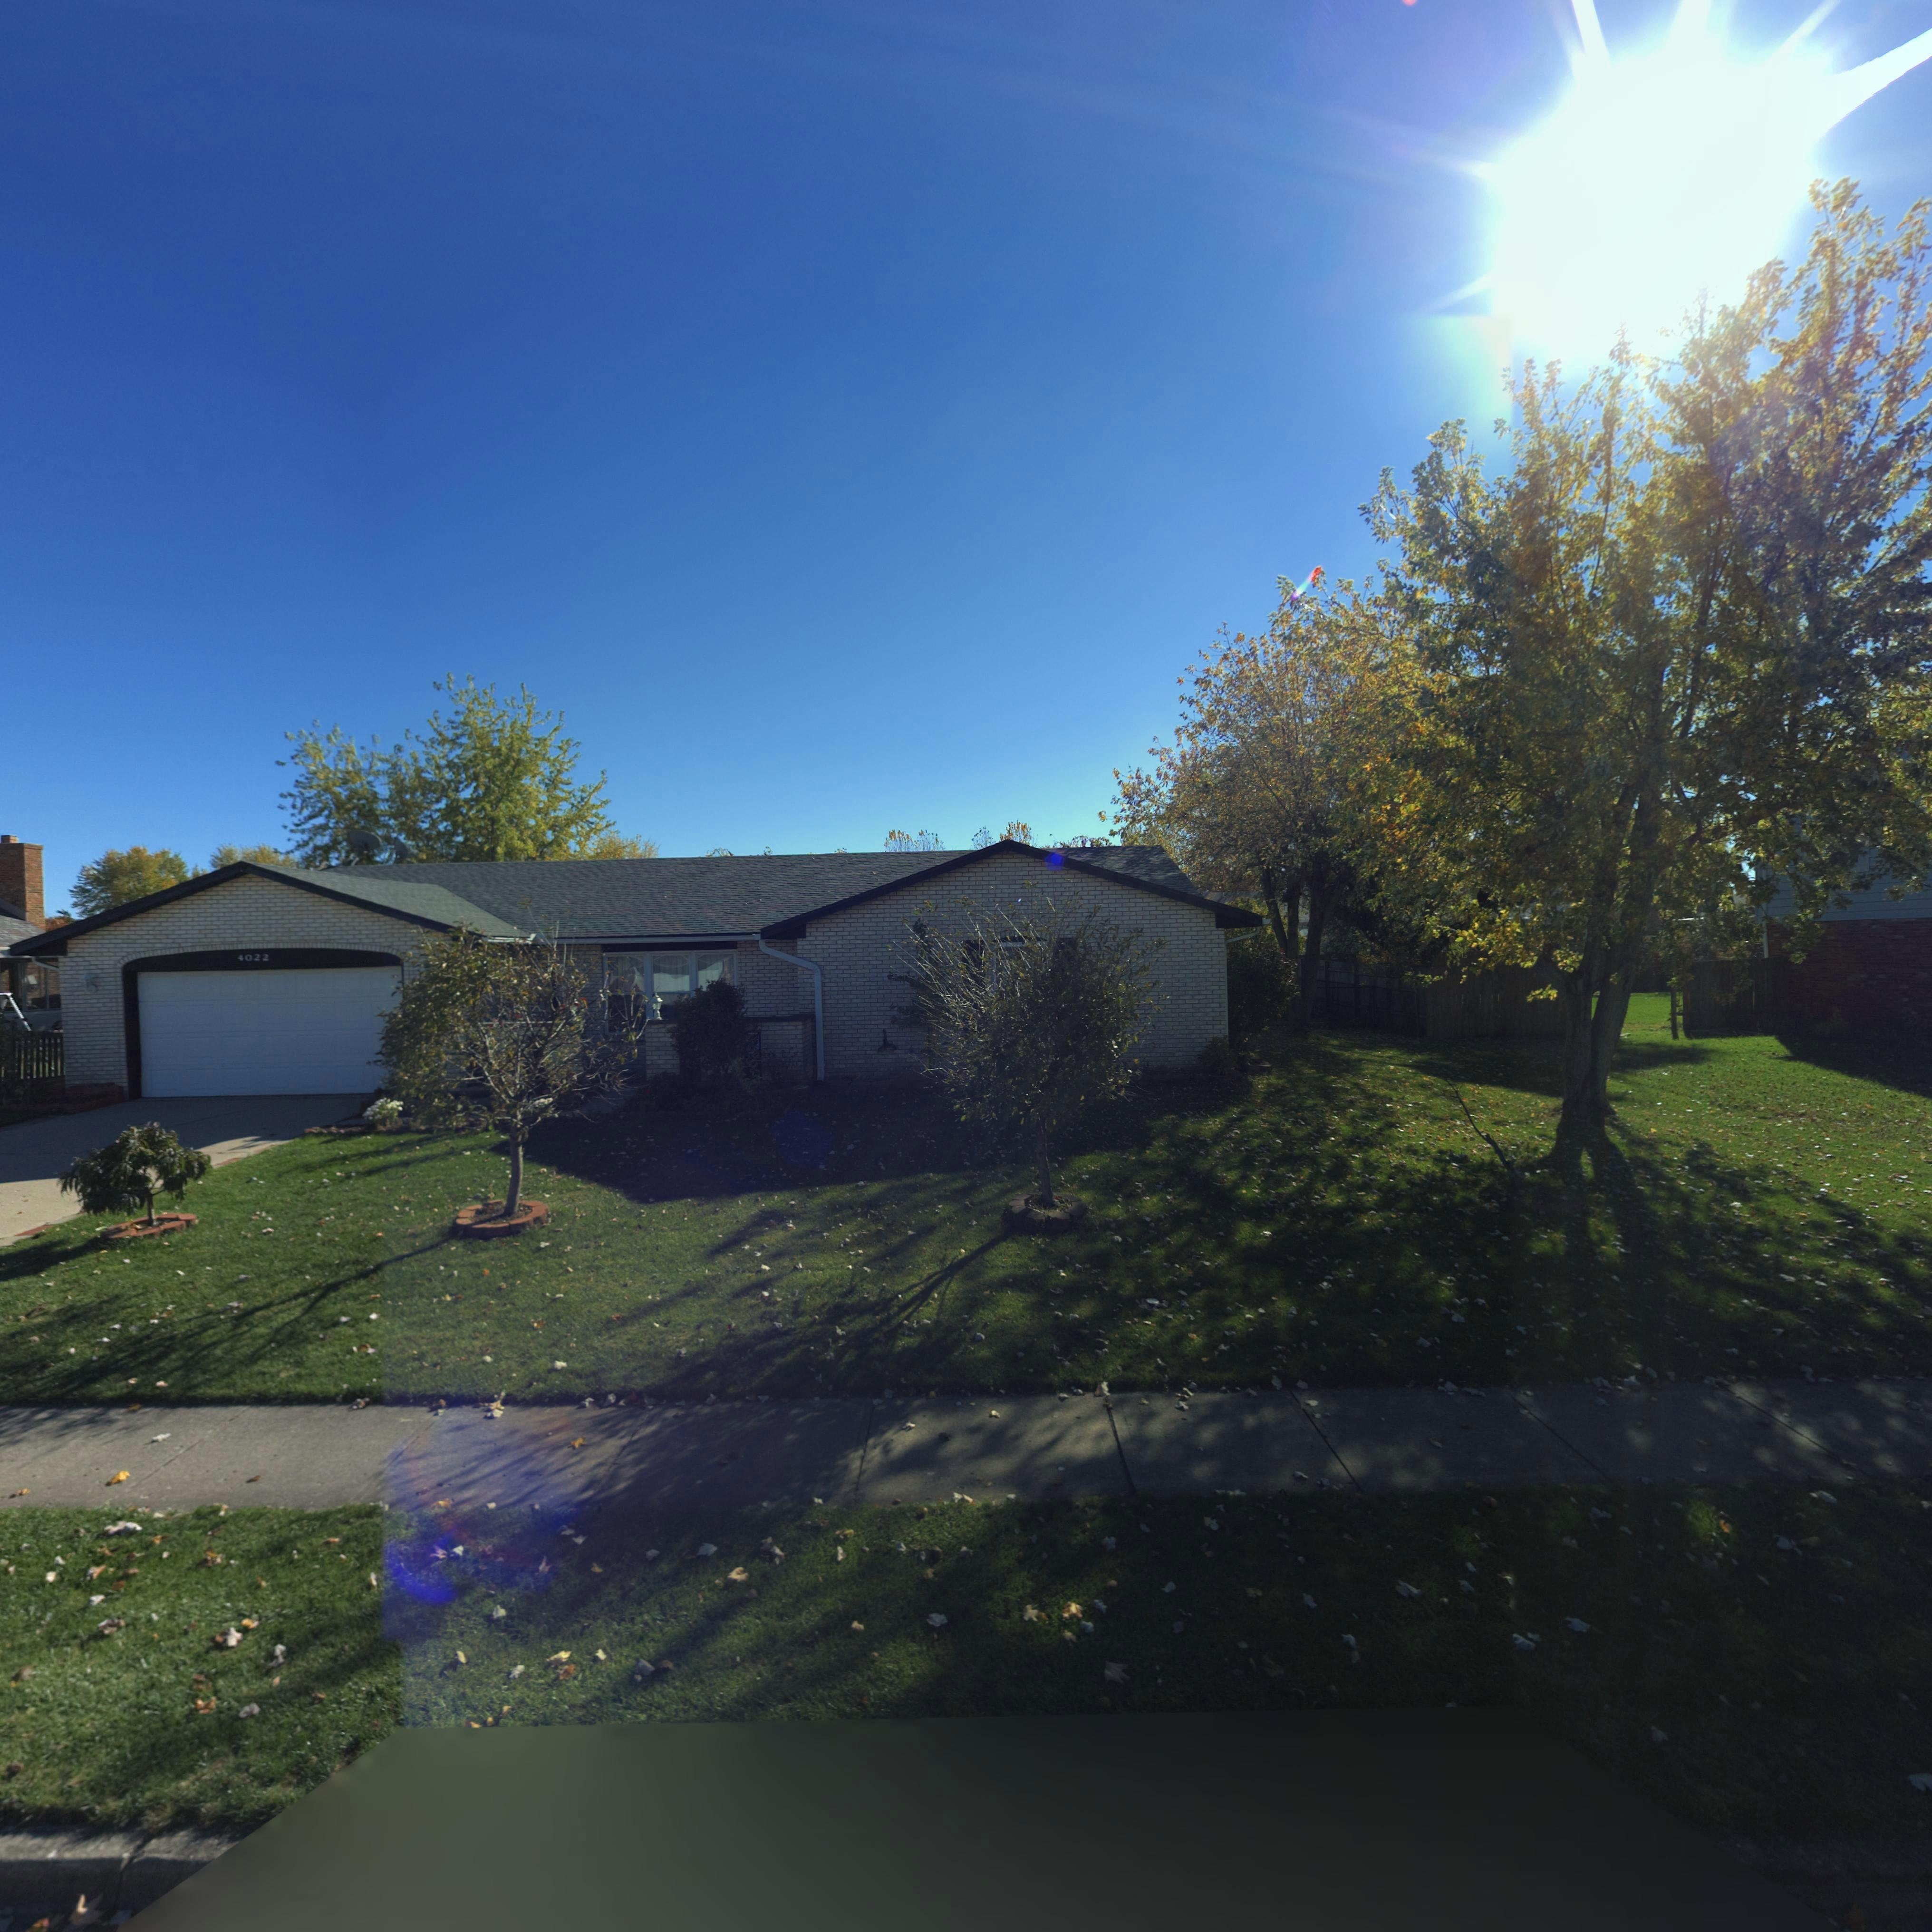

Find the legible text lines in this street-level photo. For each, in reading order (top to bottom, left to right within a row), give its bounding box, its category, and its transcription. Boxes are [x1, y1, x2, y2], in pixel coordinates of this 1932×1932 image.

[237, 953, 269, 962] StreetNumber: 4022